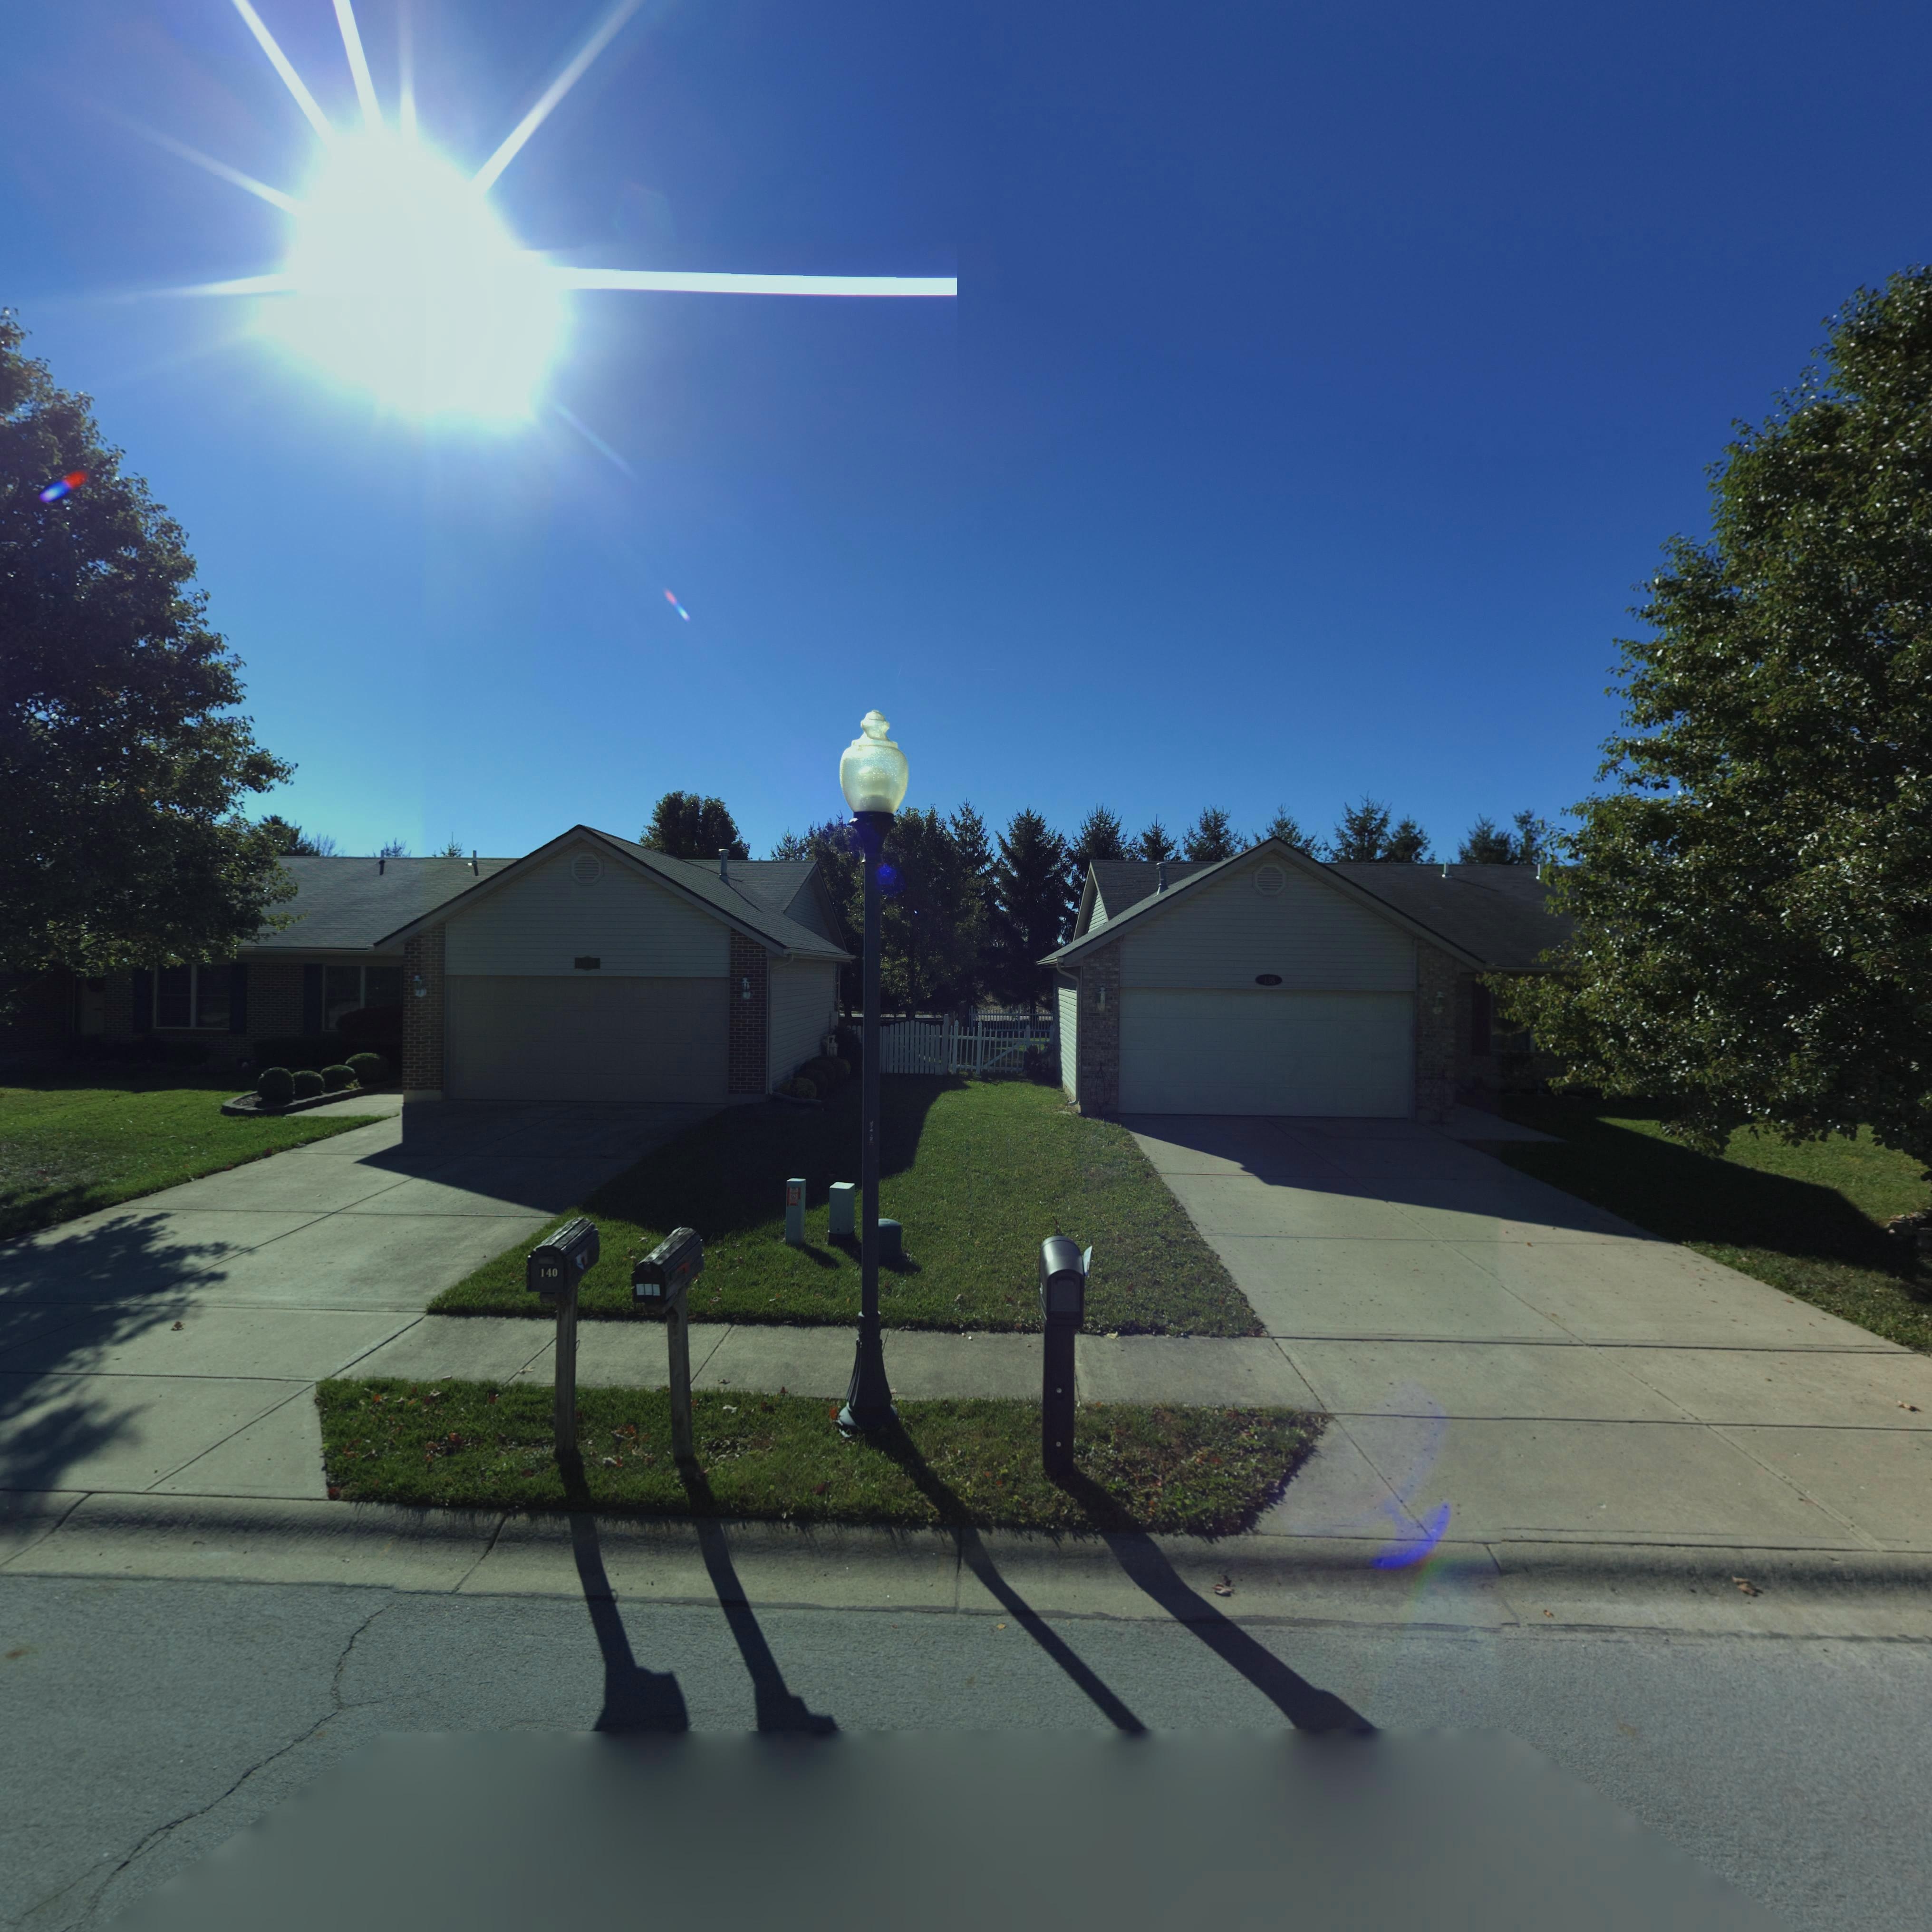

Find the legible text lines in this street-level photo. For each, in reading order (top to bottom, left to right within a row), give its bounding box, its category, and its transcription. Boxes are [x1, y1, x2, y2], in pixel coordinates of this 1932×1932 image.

[1263, 976, 1276, 985] StreetNumber: 138
[540, 1267, 558, 1277] StreetNumber: 140